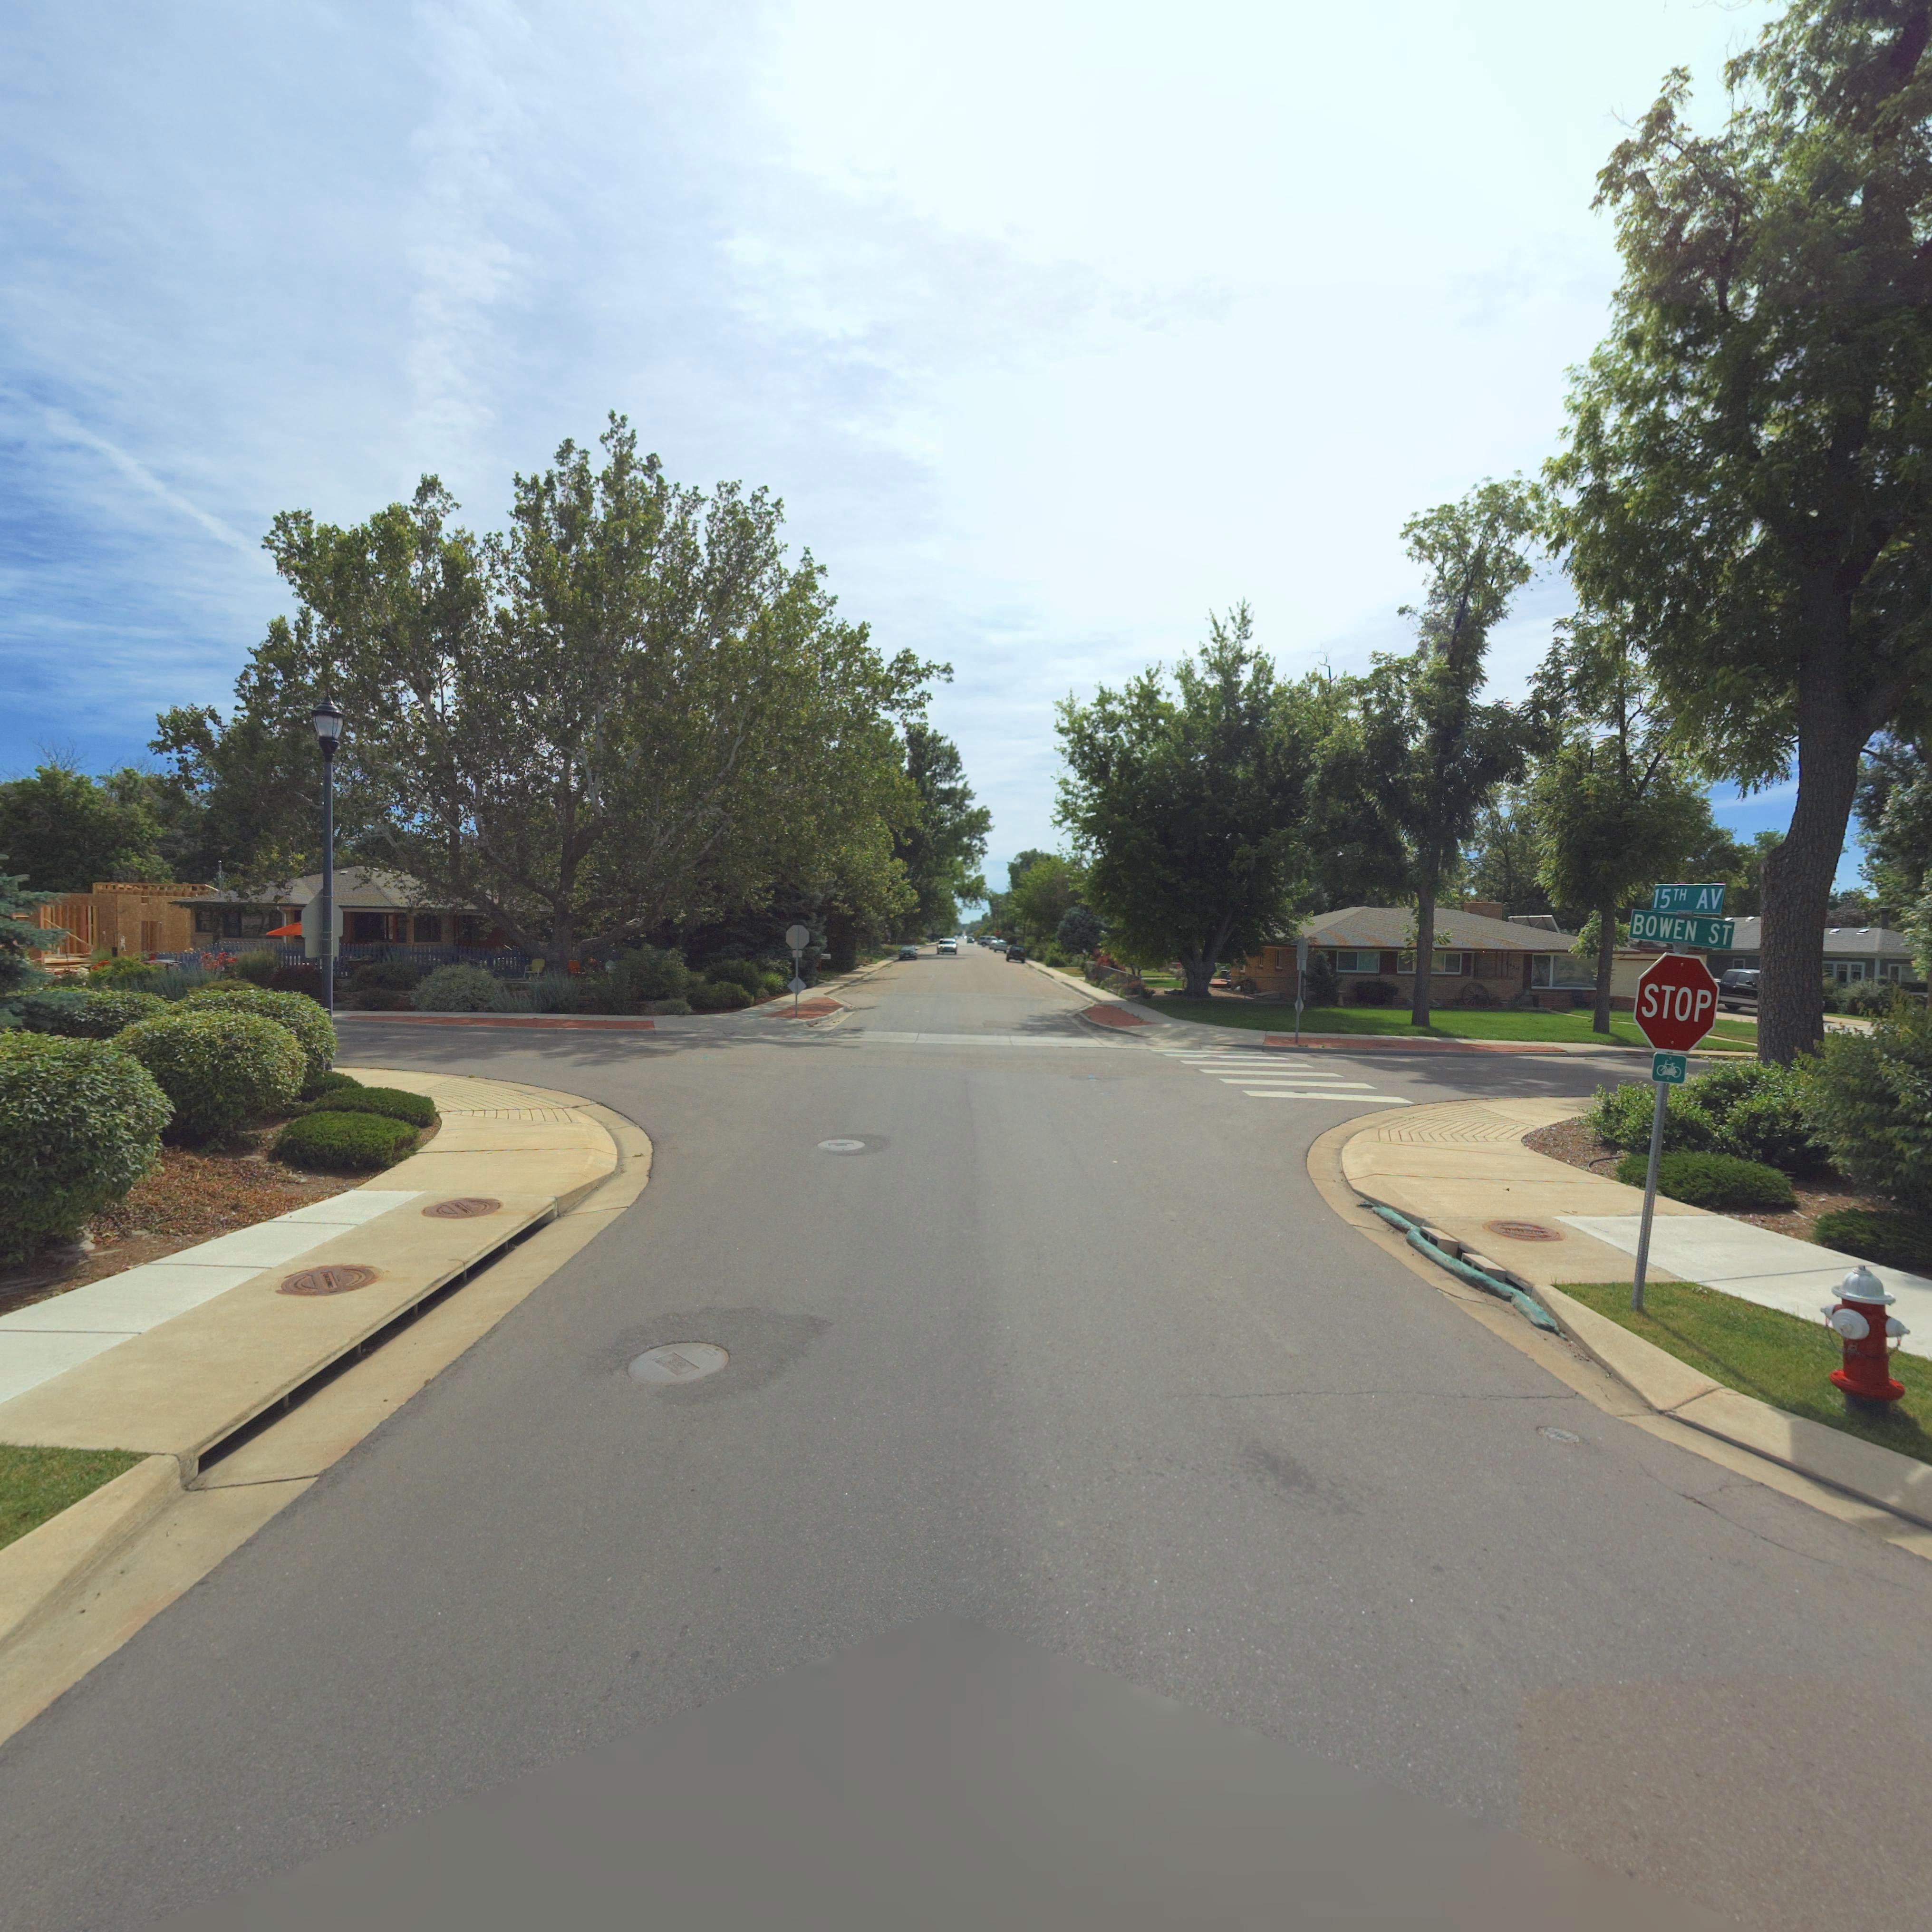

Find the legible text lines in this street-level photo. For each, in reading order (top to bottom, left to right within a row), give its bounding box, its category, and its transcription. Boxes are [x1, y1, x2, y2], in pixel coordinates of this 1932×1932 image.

[1652, 887, 1724, 911] StreetName: 15TH AV
[1632, 912, 1733, 947] StreetName: BOWEN ST